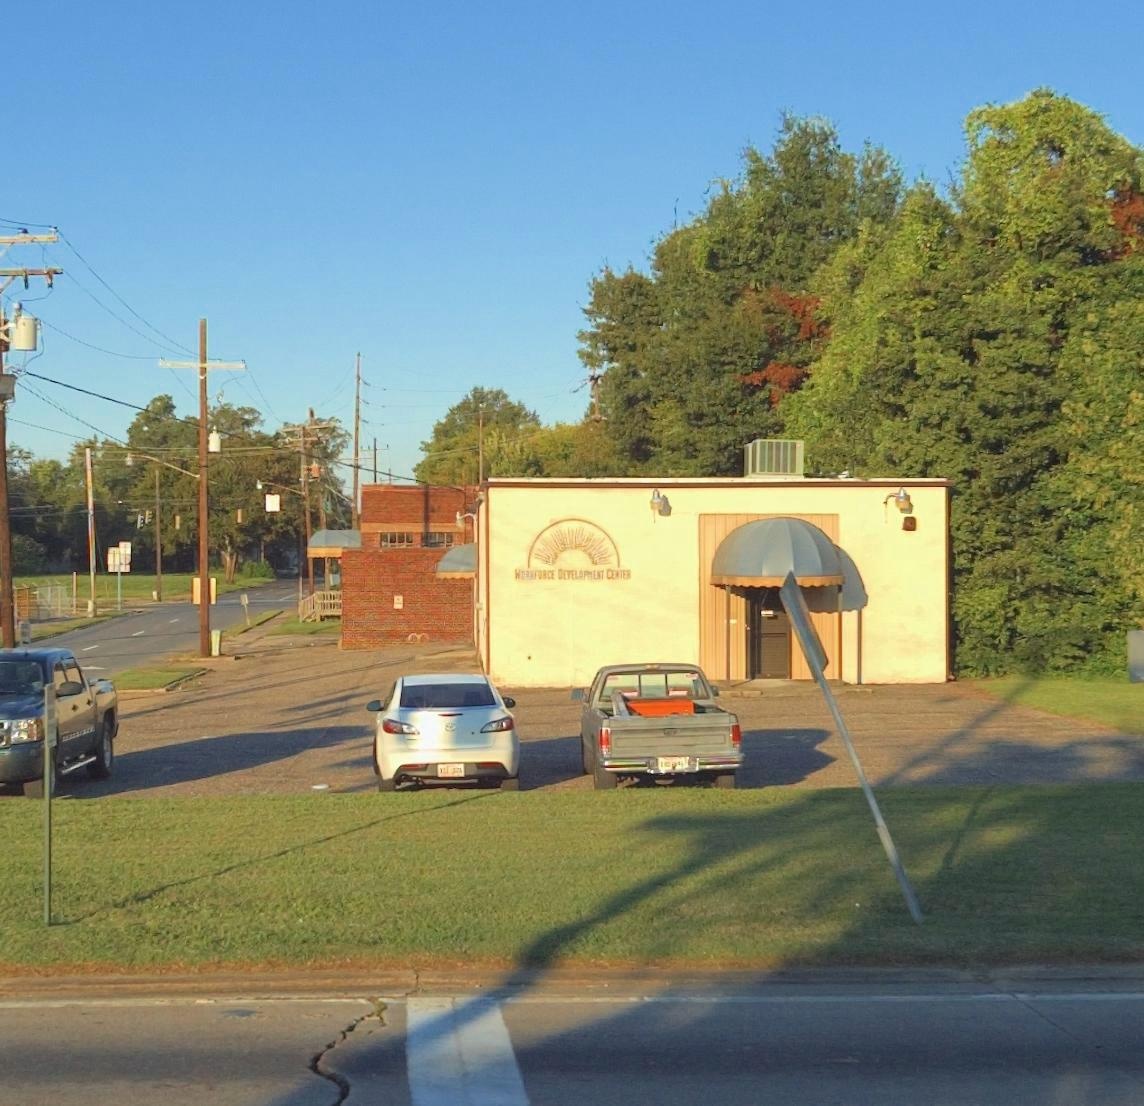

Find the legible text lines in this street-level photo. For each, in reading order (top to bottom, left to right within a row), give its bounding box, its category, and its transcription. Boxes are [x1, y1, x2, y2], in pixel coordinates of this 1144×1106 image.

[512, 565, 634, 583] BusinessName: WO***O*CE DE*EL*****T CE*TE*